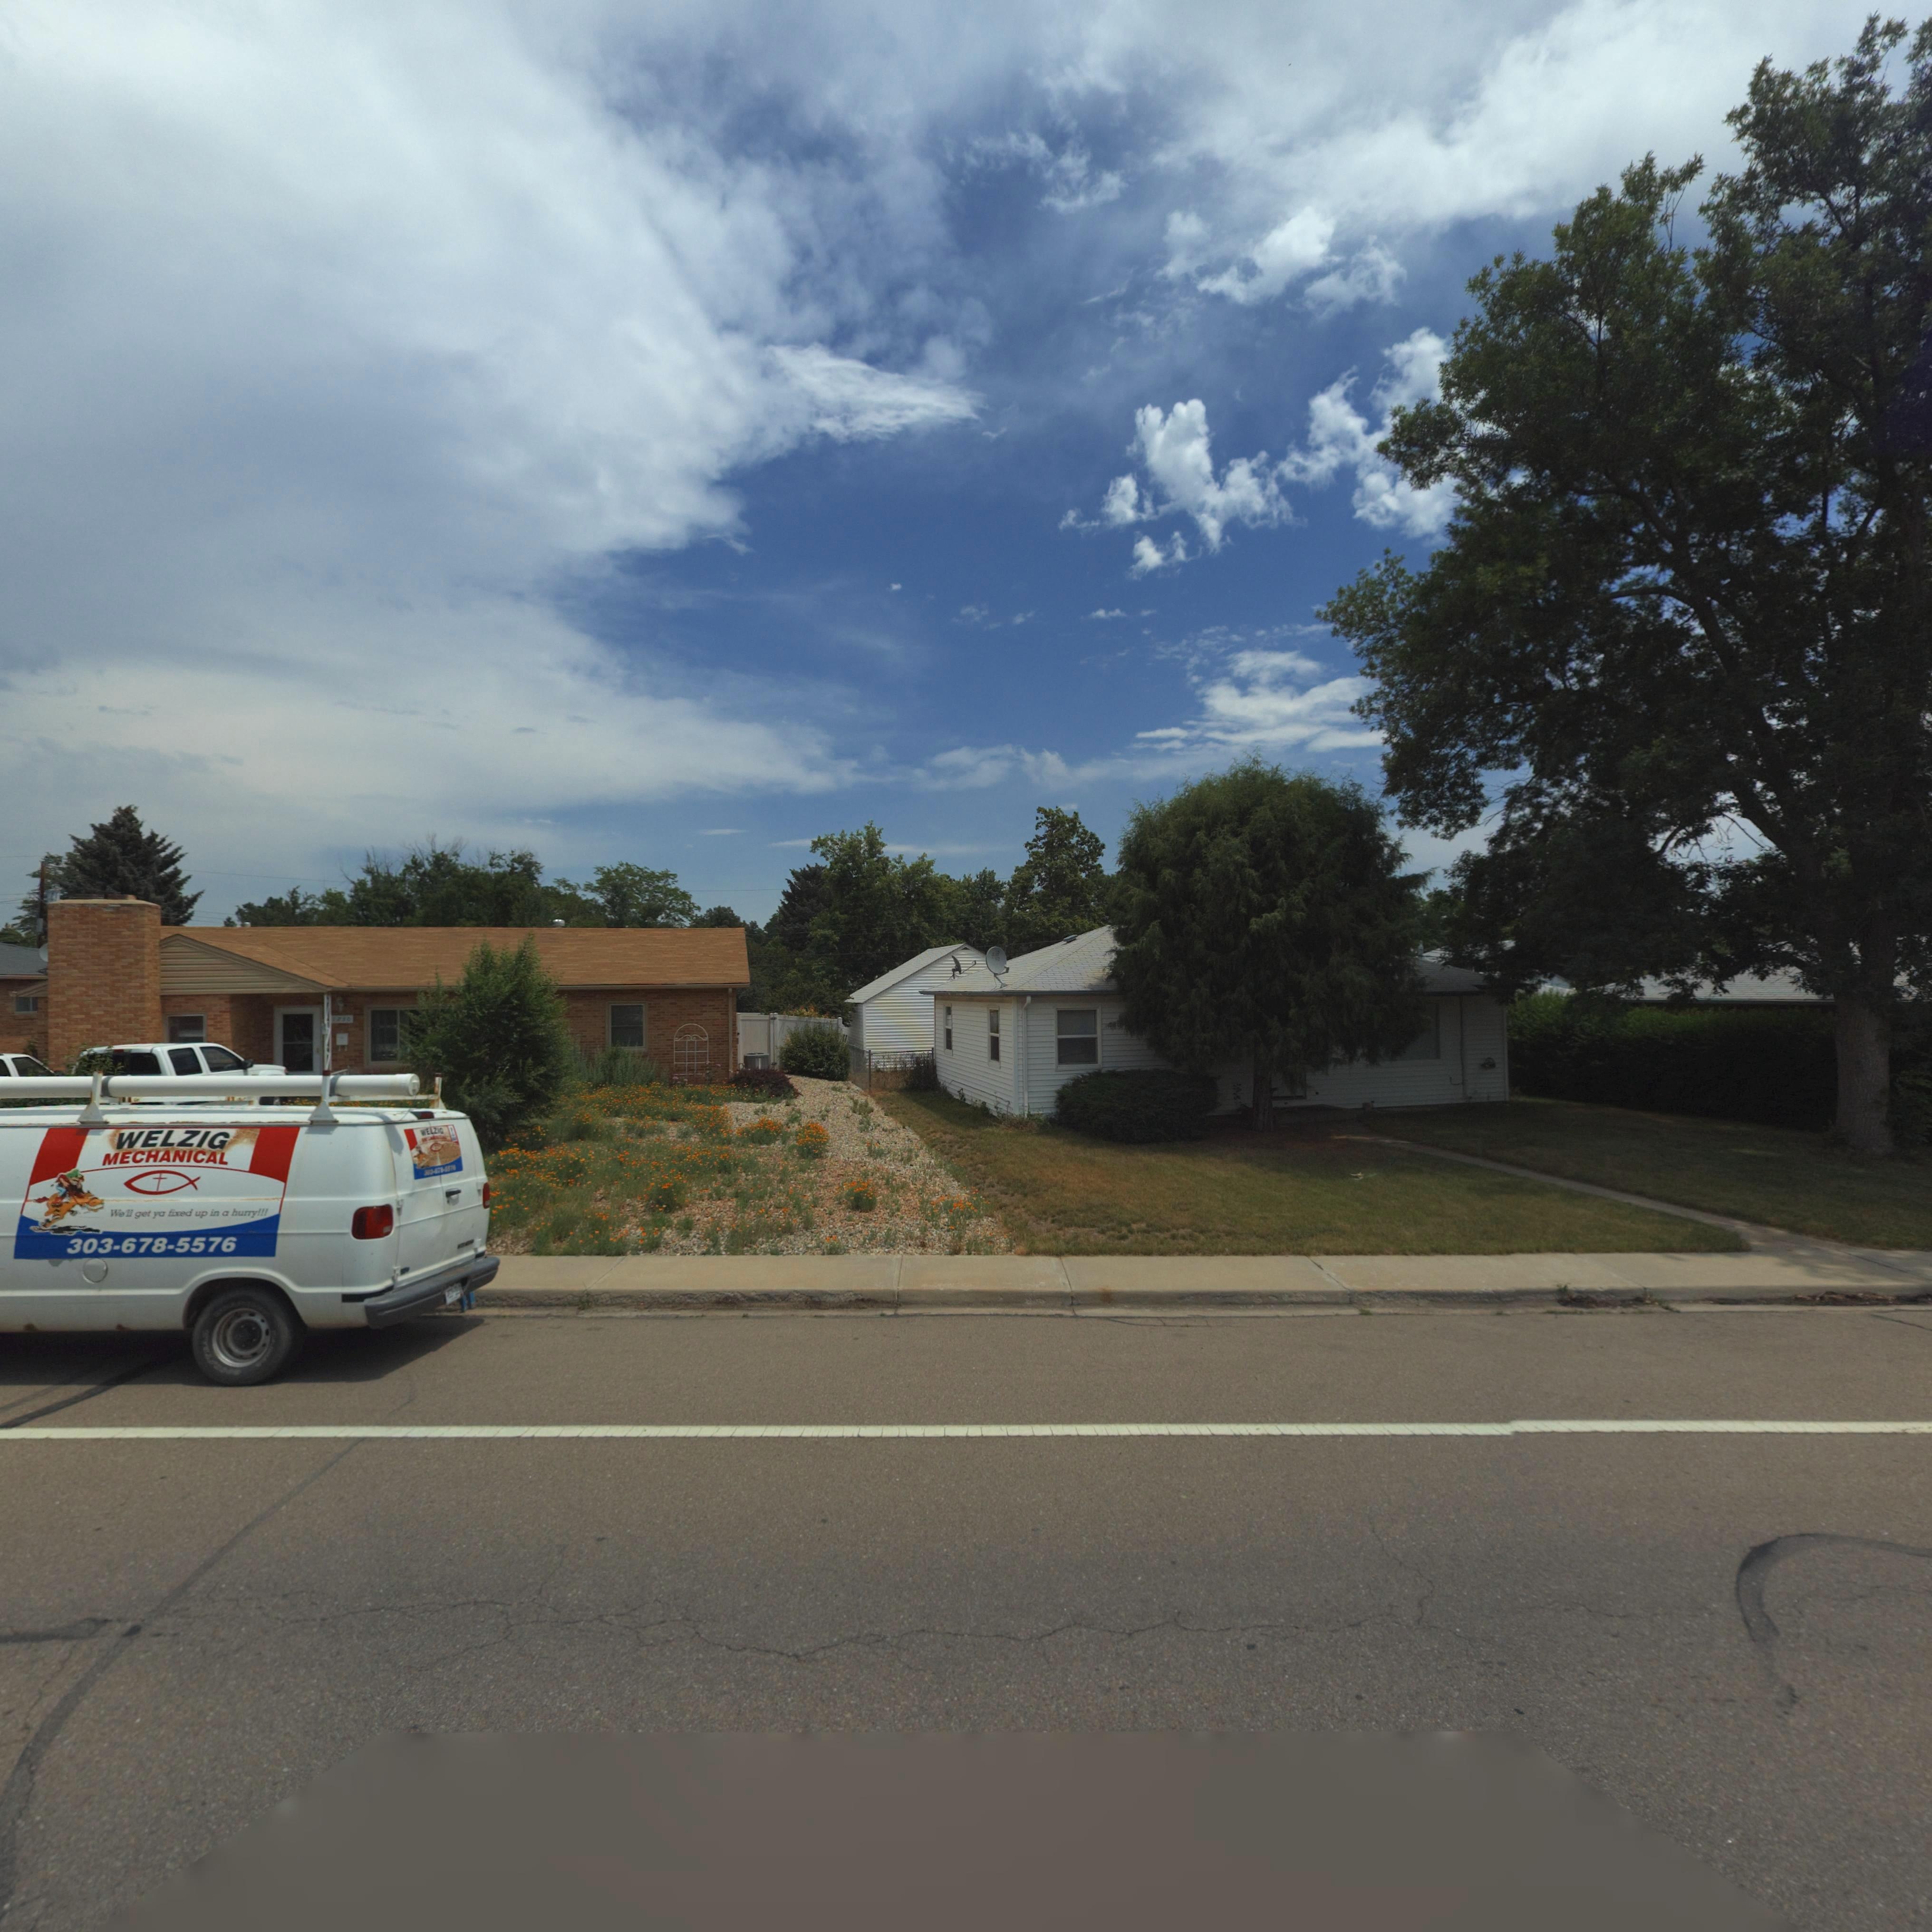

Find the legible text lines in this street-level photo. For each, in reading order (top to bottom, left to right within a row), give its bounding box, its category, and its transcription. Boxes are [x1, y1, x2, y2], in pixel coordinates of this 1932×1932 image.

[331, 1015, 352, 1022] StreetNumber: 1230